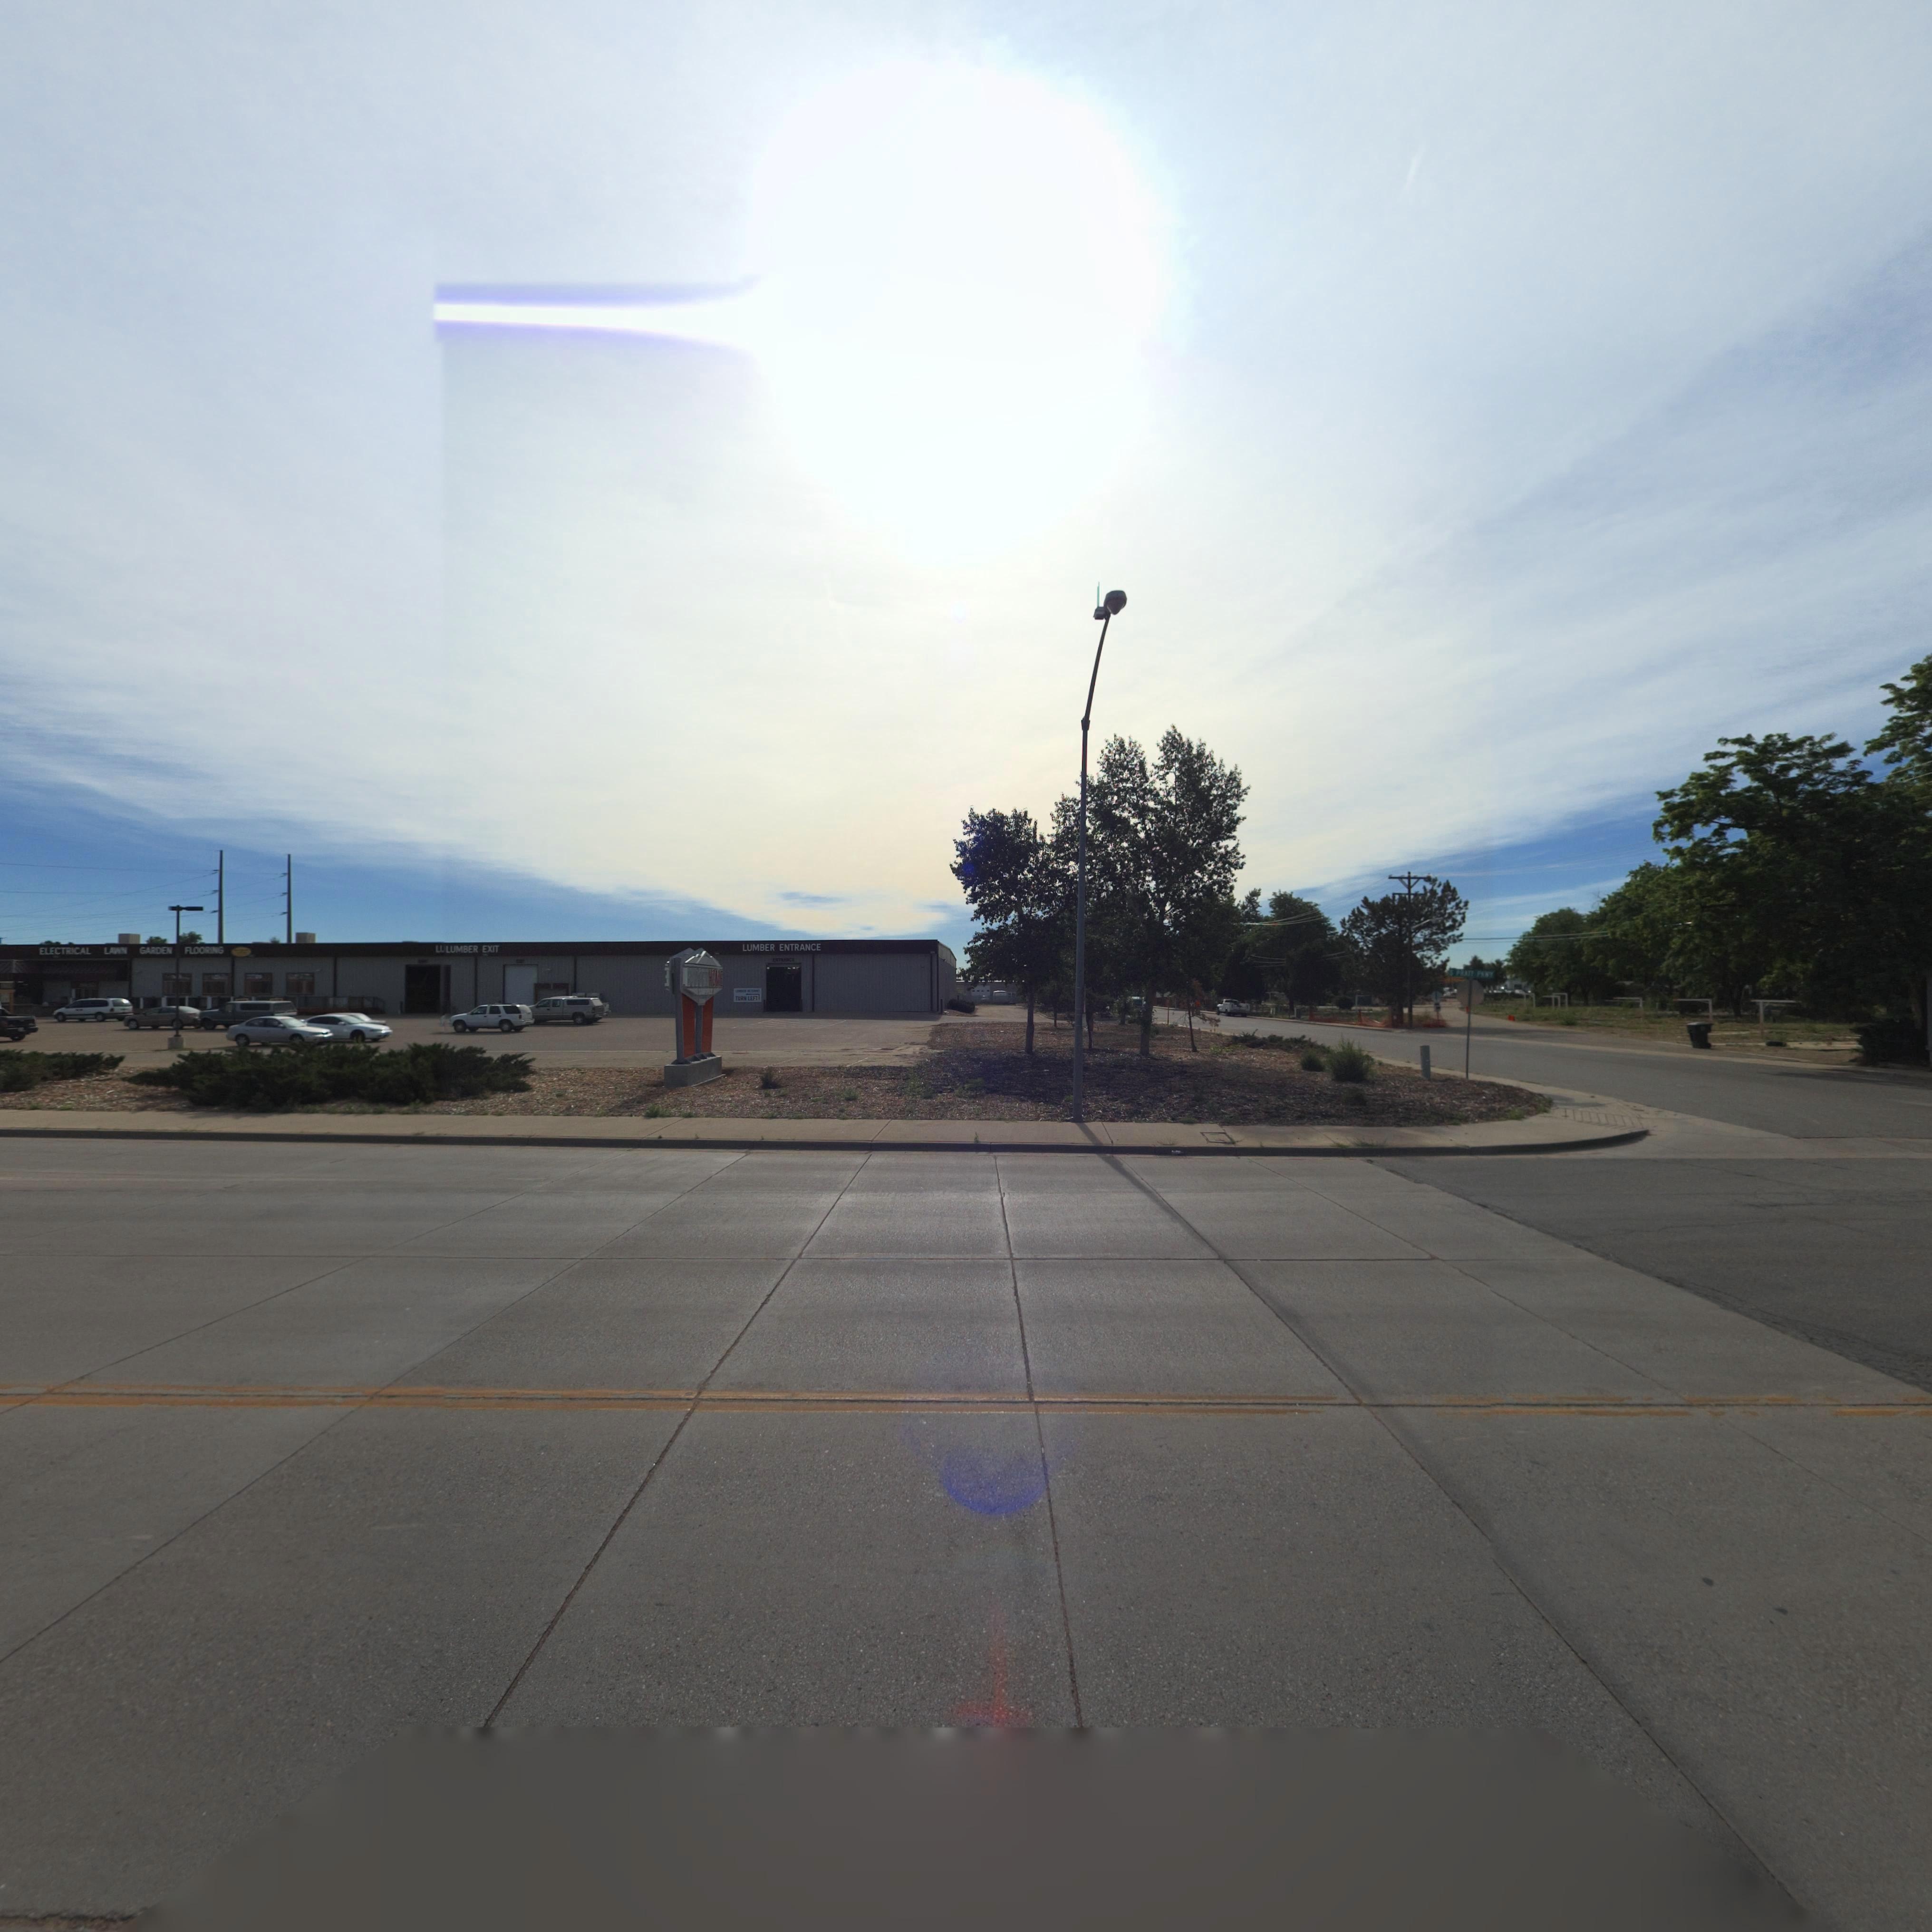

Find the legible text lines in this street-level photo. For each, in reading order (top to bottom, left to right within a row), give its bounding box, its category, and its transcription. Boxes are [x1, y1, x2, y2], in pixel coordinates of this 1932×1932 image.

[685, 966, 724, 986] BusinessName: B***THOME
[1449, 968, 1494, 978] StreetName: S PRATT PKWY
[697, 987, 714, 994] BusinessName: ****LY